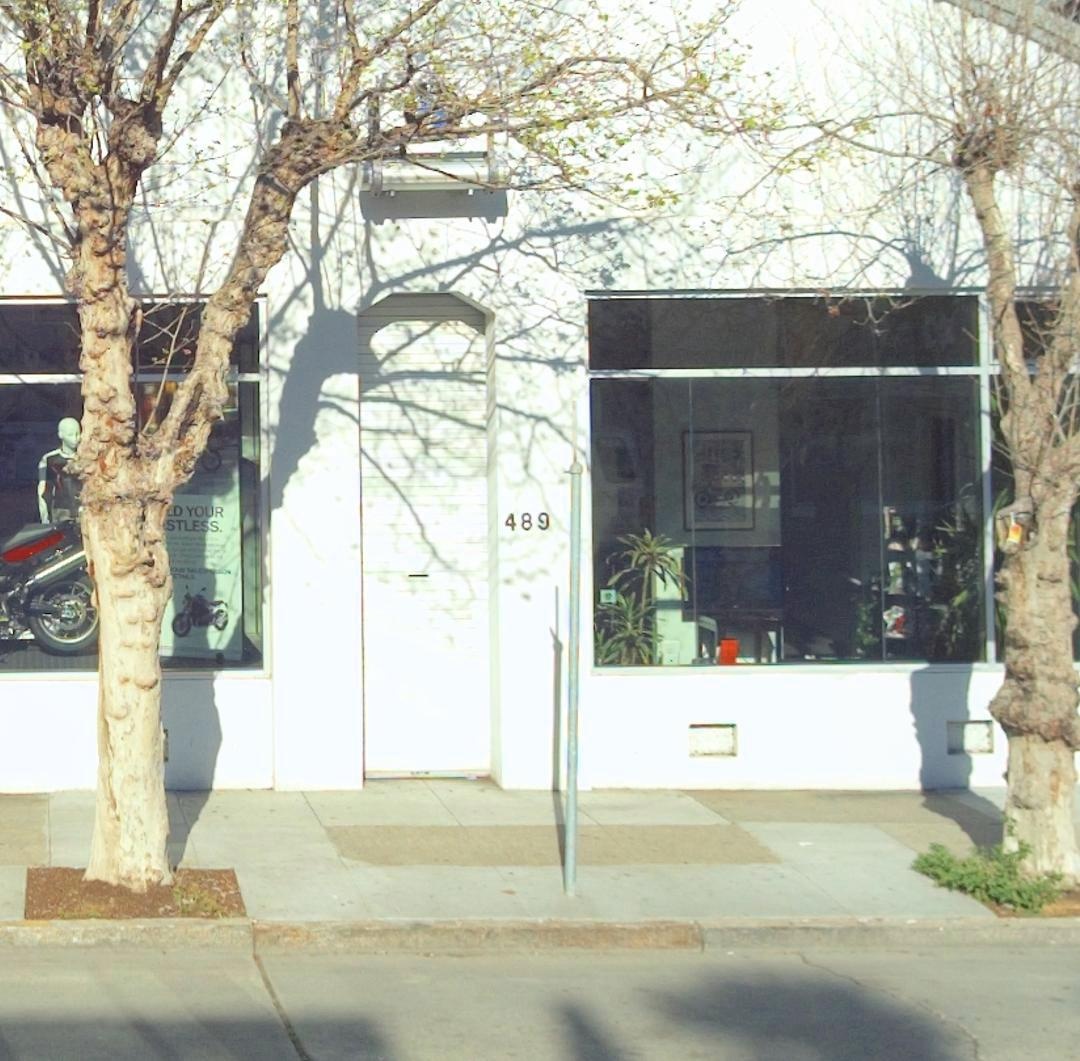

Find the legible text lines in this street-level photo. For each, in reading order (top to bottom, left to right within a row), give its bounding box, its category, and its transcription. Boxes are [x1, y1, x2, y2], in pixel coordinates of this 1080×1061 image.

[172, 503, 225, 519] None: D YOUR
[165, 518, 220, 533] None: STLESS
[503, 511, 550, 533] StreetNumber: 489